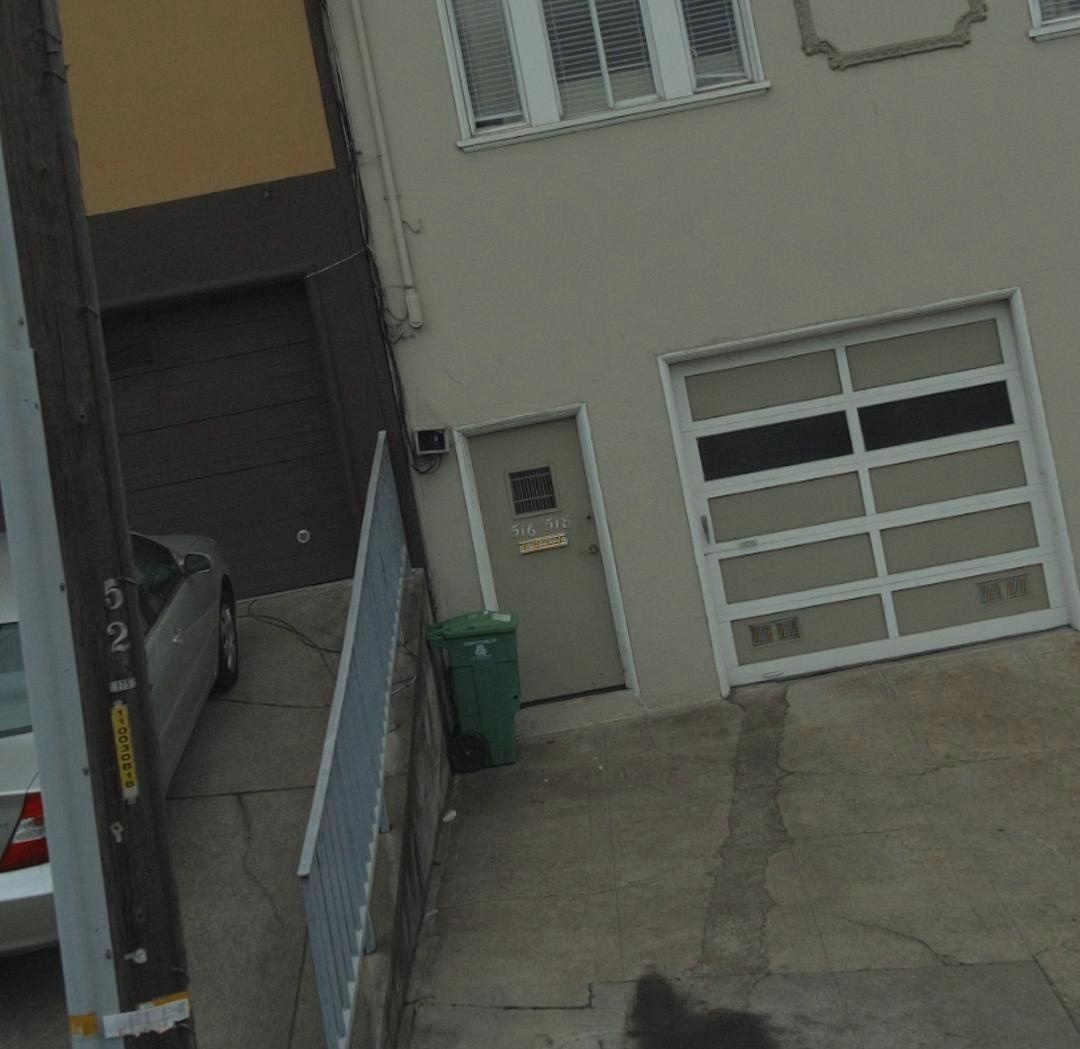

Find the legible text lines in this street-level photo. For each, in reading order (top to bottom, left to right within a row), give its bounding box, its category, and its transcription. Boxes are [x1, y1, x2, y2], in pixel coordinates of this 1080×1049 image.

[510, 519, 539, 540] StreetNumber: 516
[543, 511, 573, 534] StreetNumber: 518
[100, 571, 135, 659] None: 52
[114, 677, 133, 693] None: 175
[111, 704, 138, 791] None: 110030616